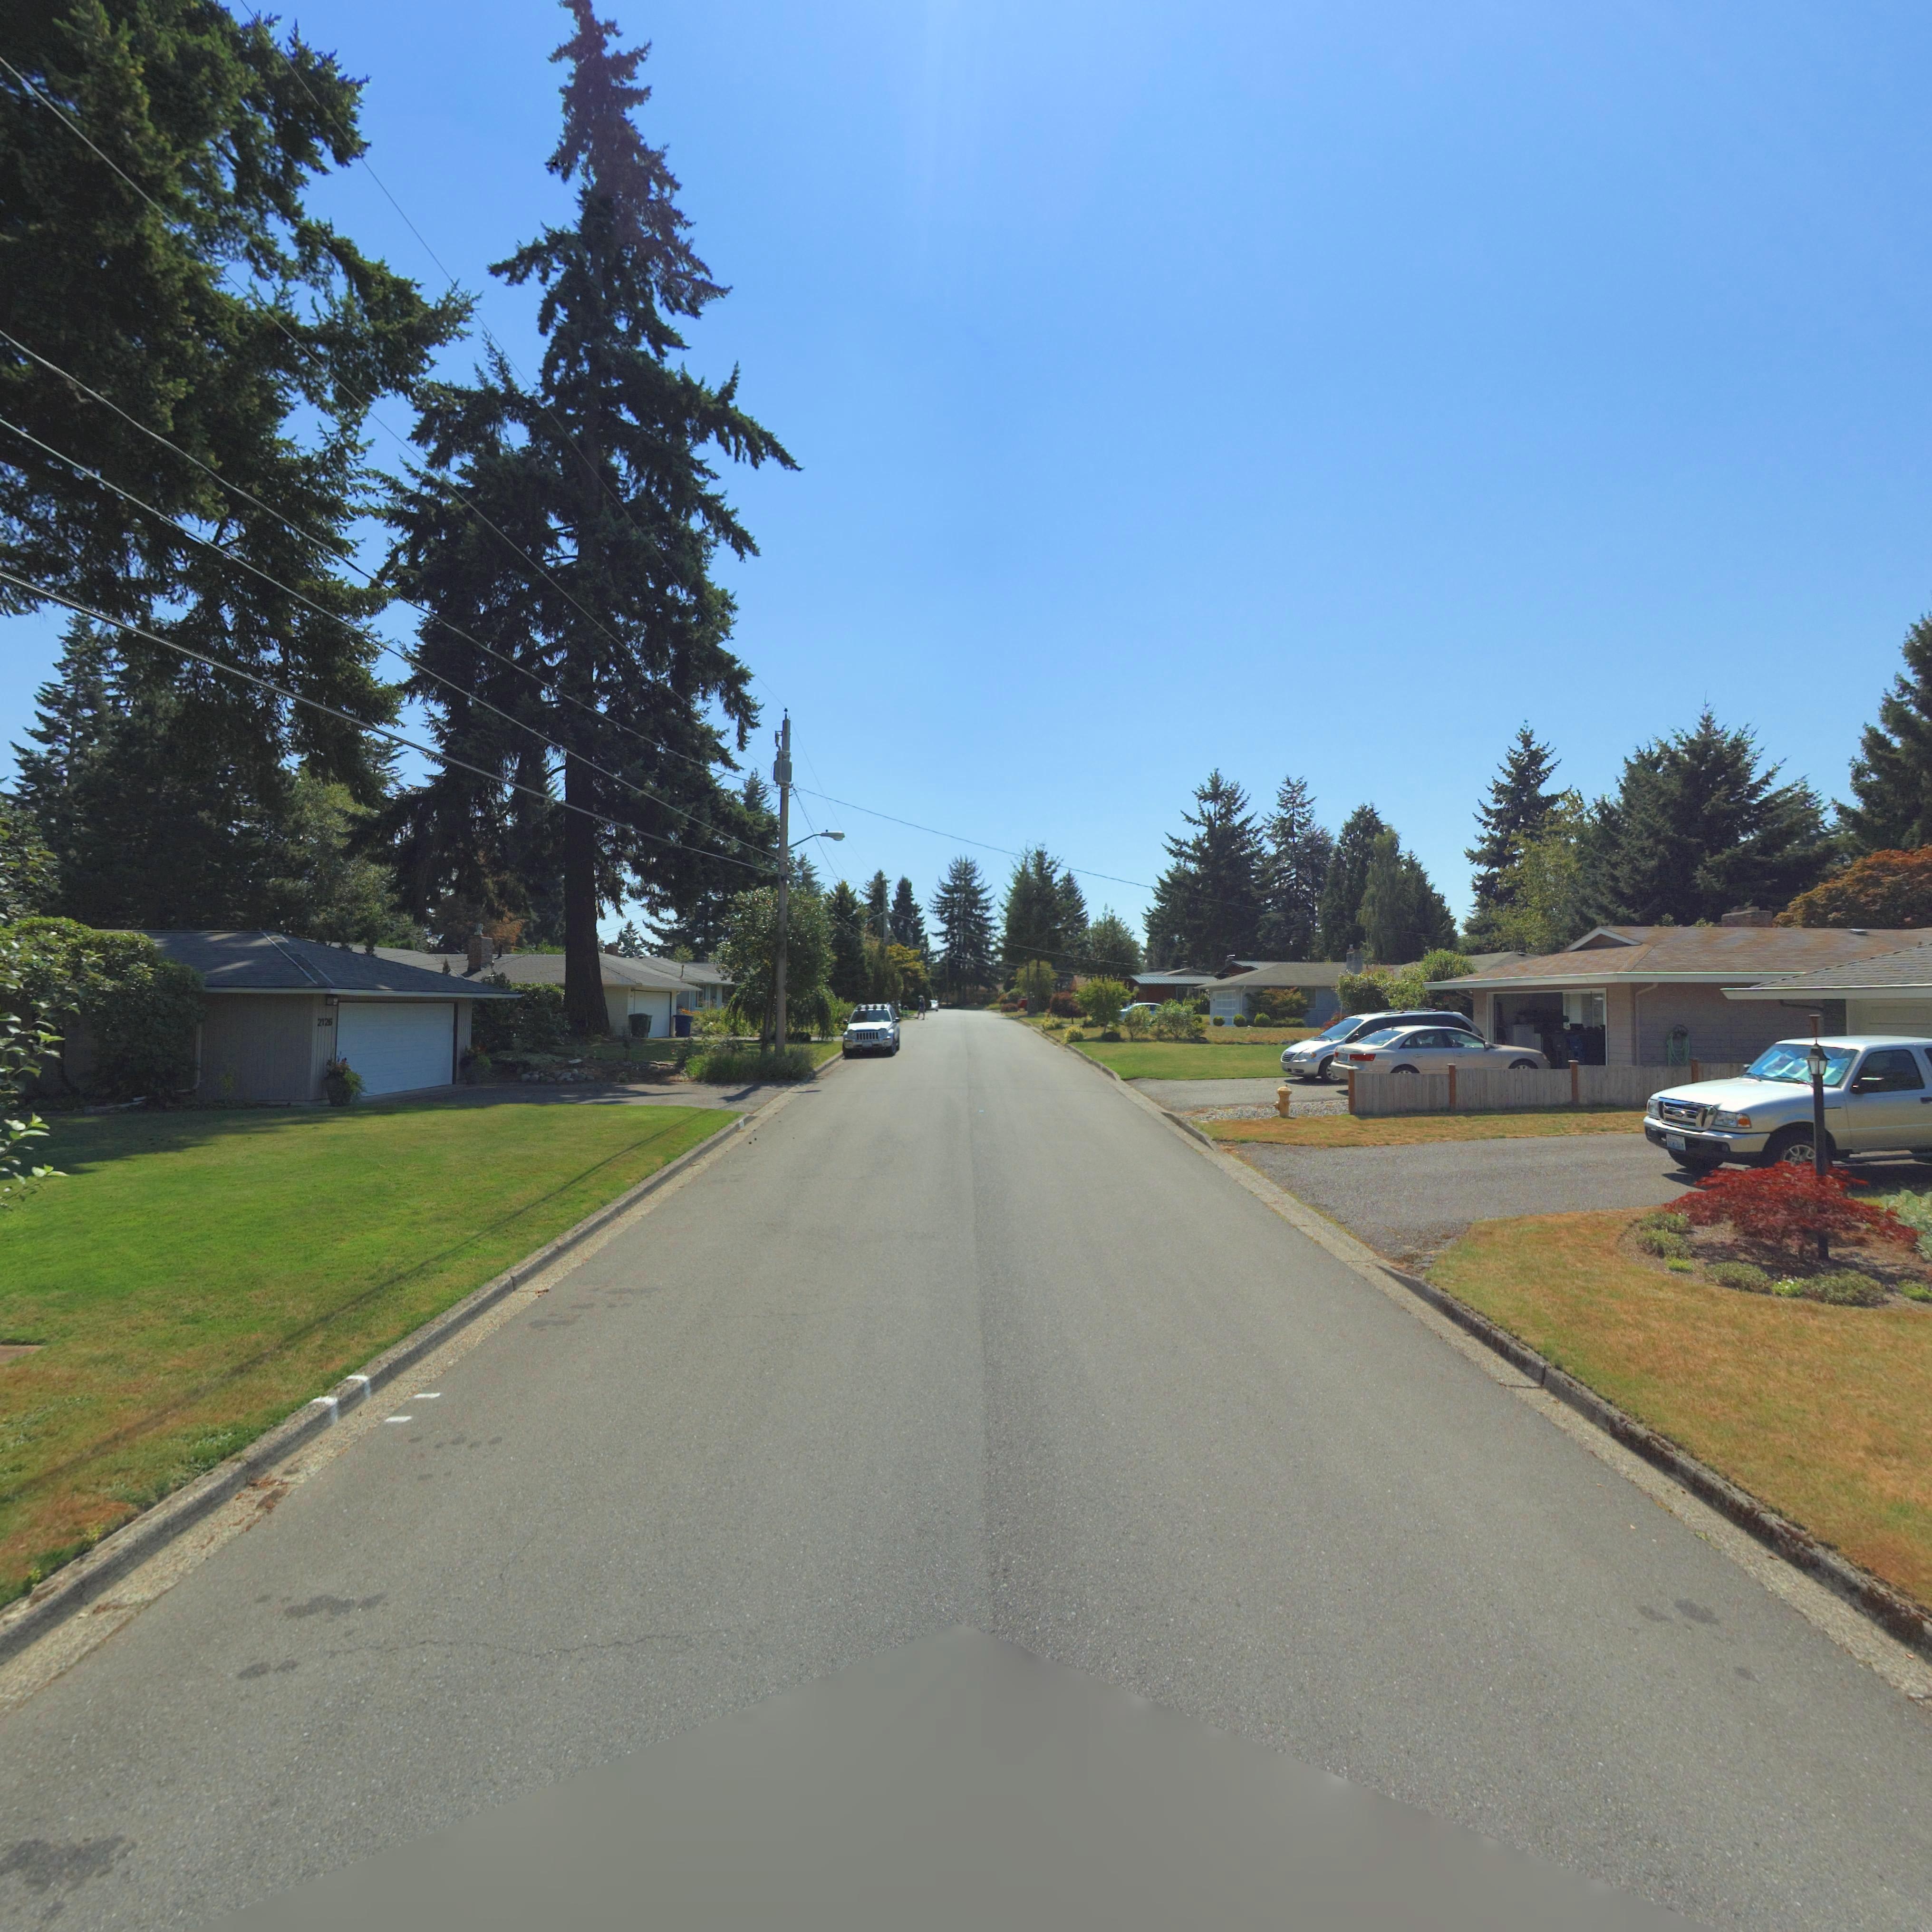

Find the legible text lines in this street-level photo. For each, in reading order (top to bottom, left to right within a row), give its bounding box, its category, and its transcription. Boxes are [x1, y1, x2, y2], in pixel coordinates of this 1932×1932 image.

[317, 1018, 334, 1026] StreetNumber: 2126